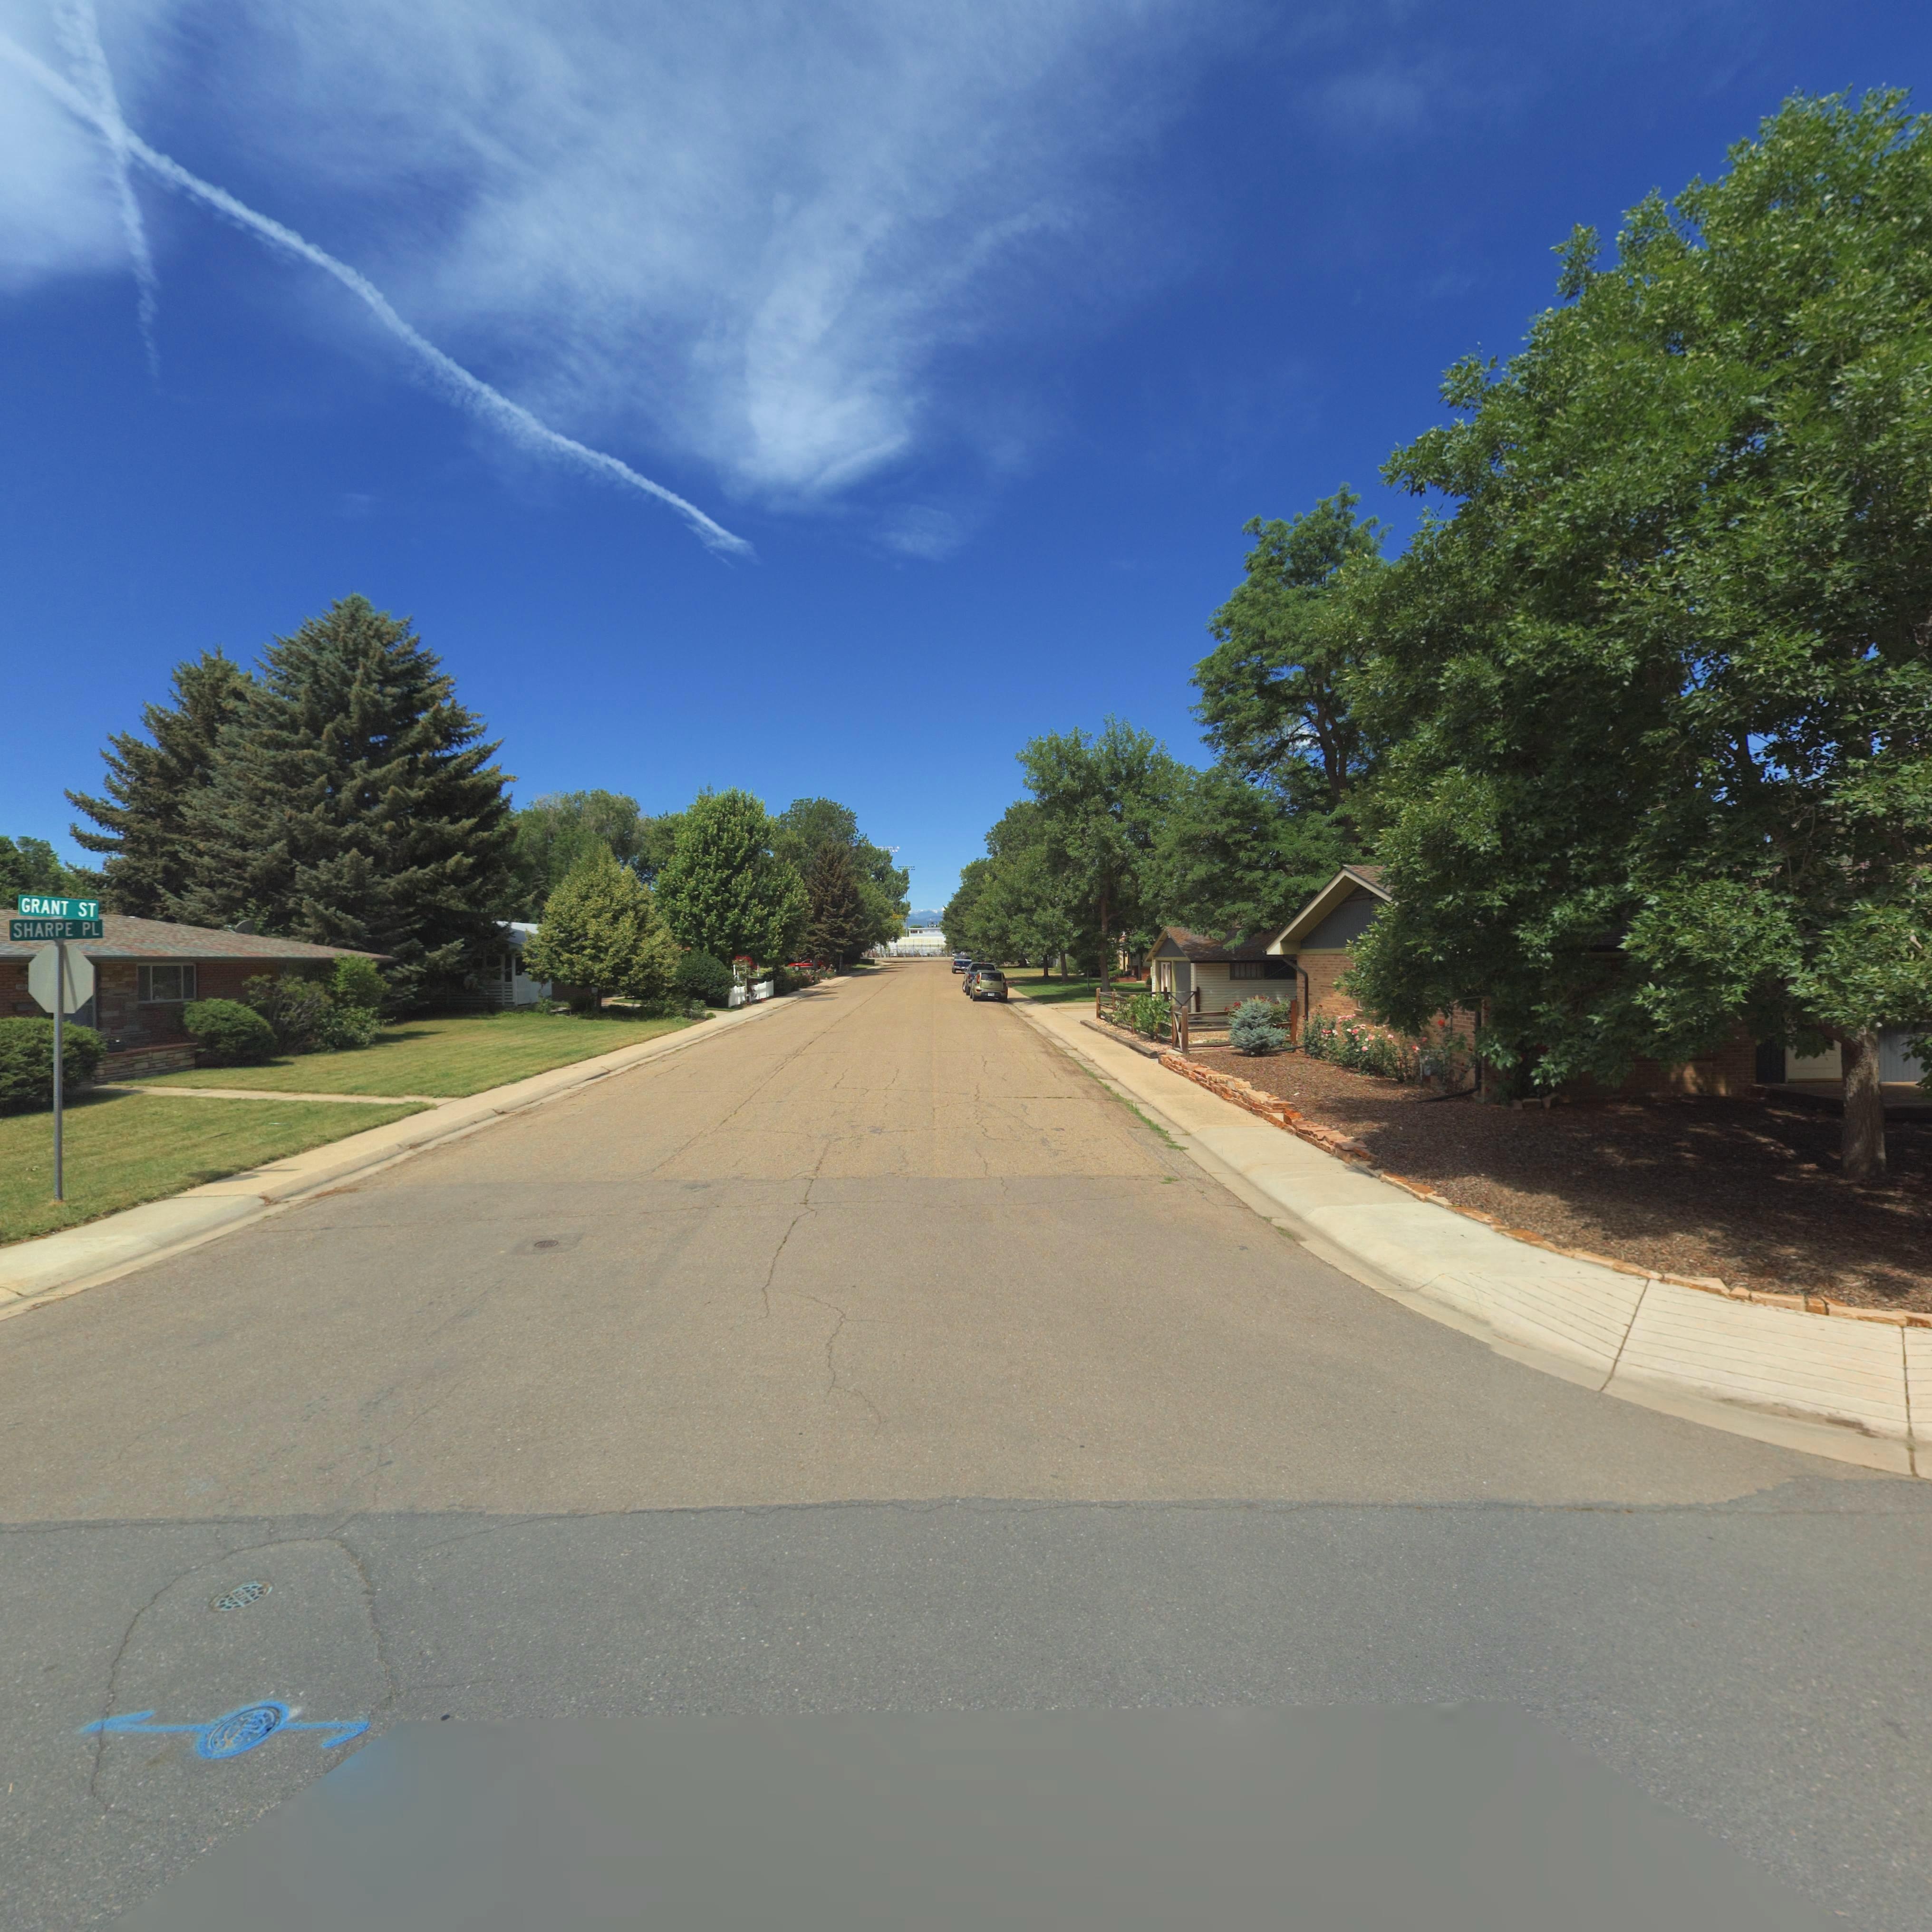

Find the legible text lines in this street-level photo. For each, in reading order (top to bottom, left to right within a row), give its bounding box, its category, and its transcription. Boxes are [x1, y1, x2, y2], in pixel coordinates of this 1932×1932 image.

[20, 897, 97, 918] StreetName: GRANT ST
[12, 920, 101, 939] StreetName: SHARPE PL